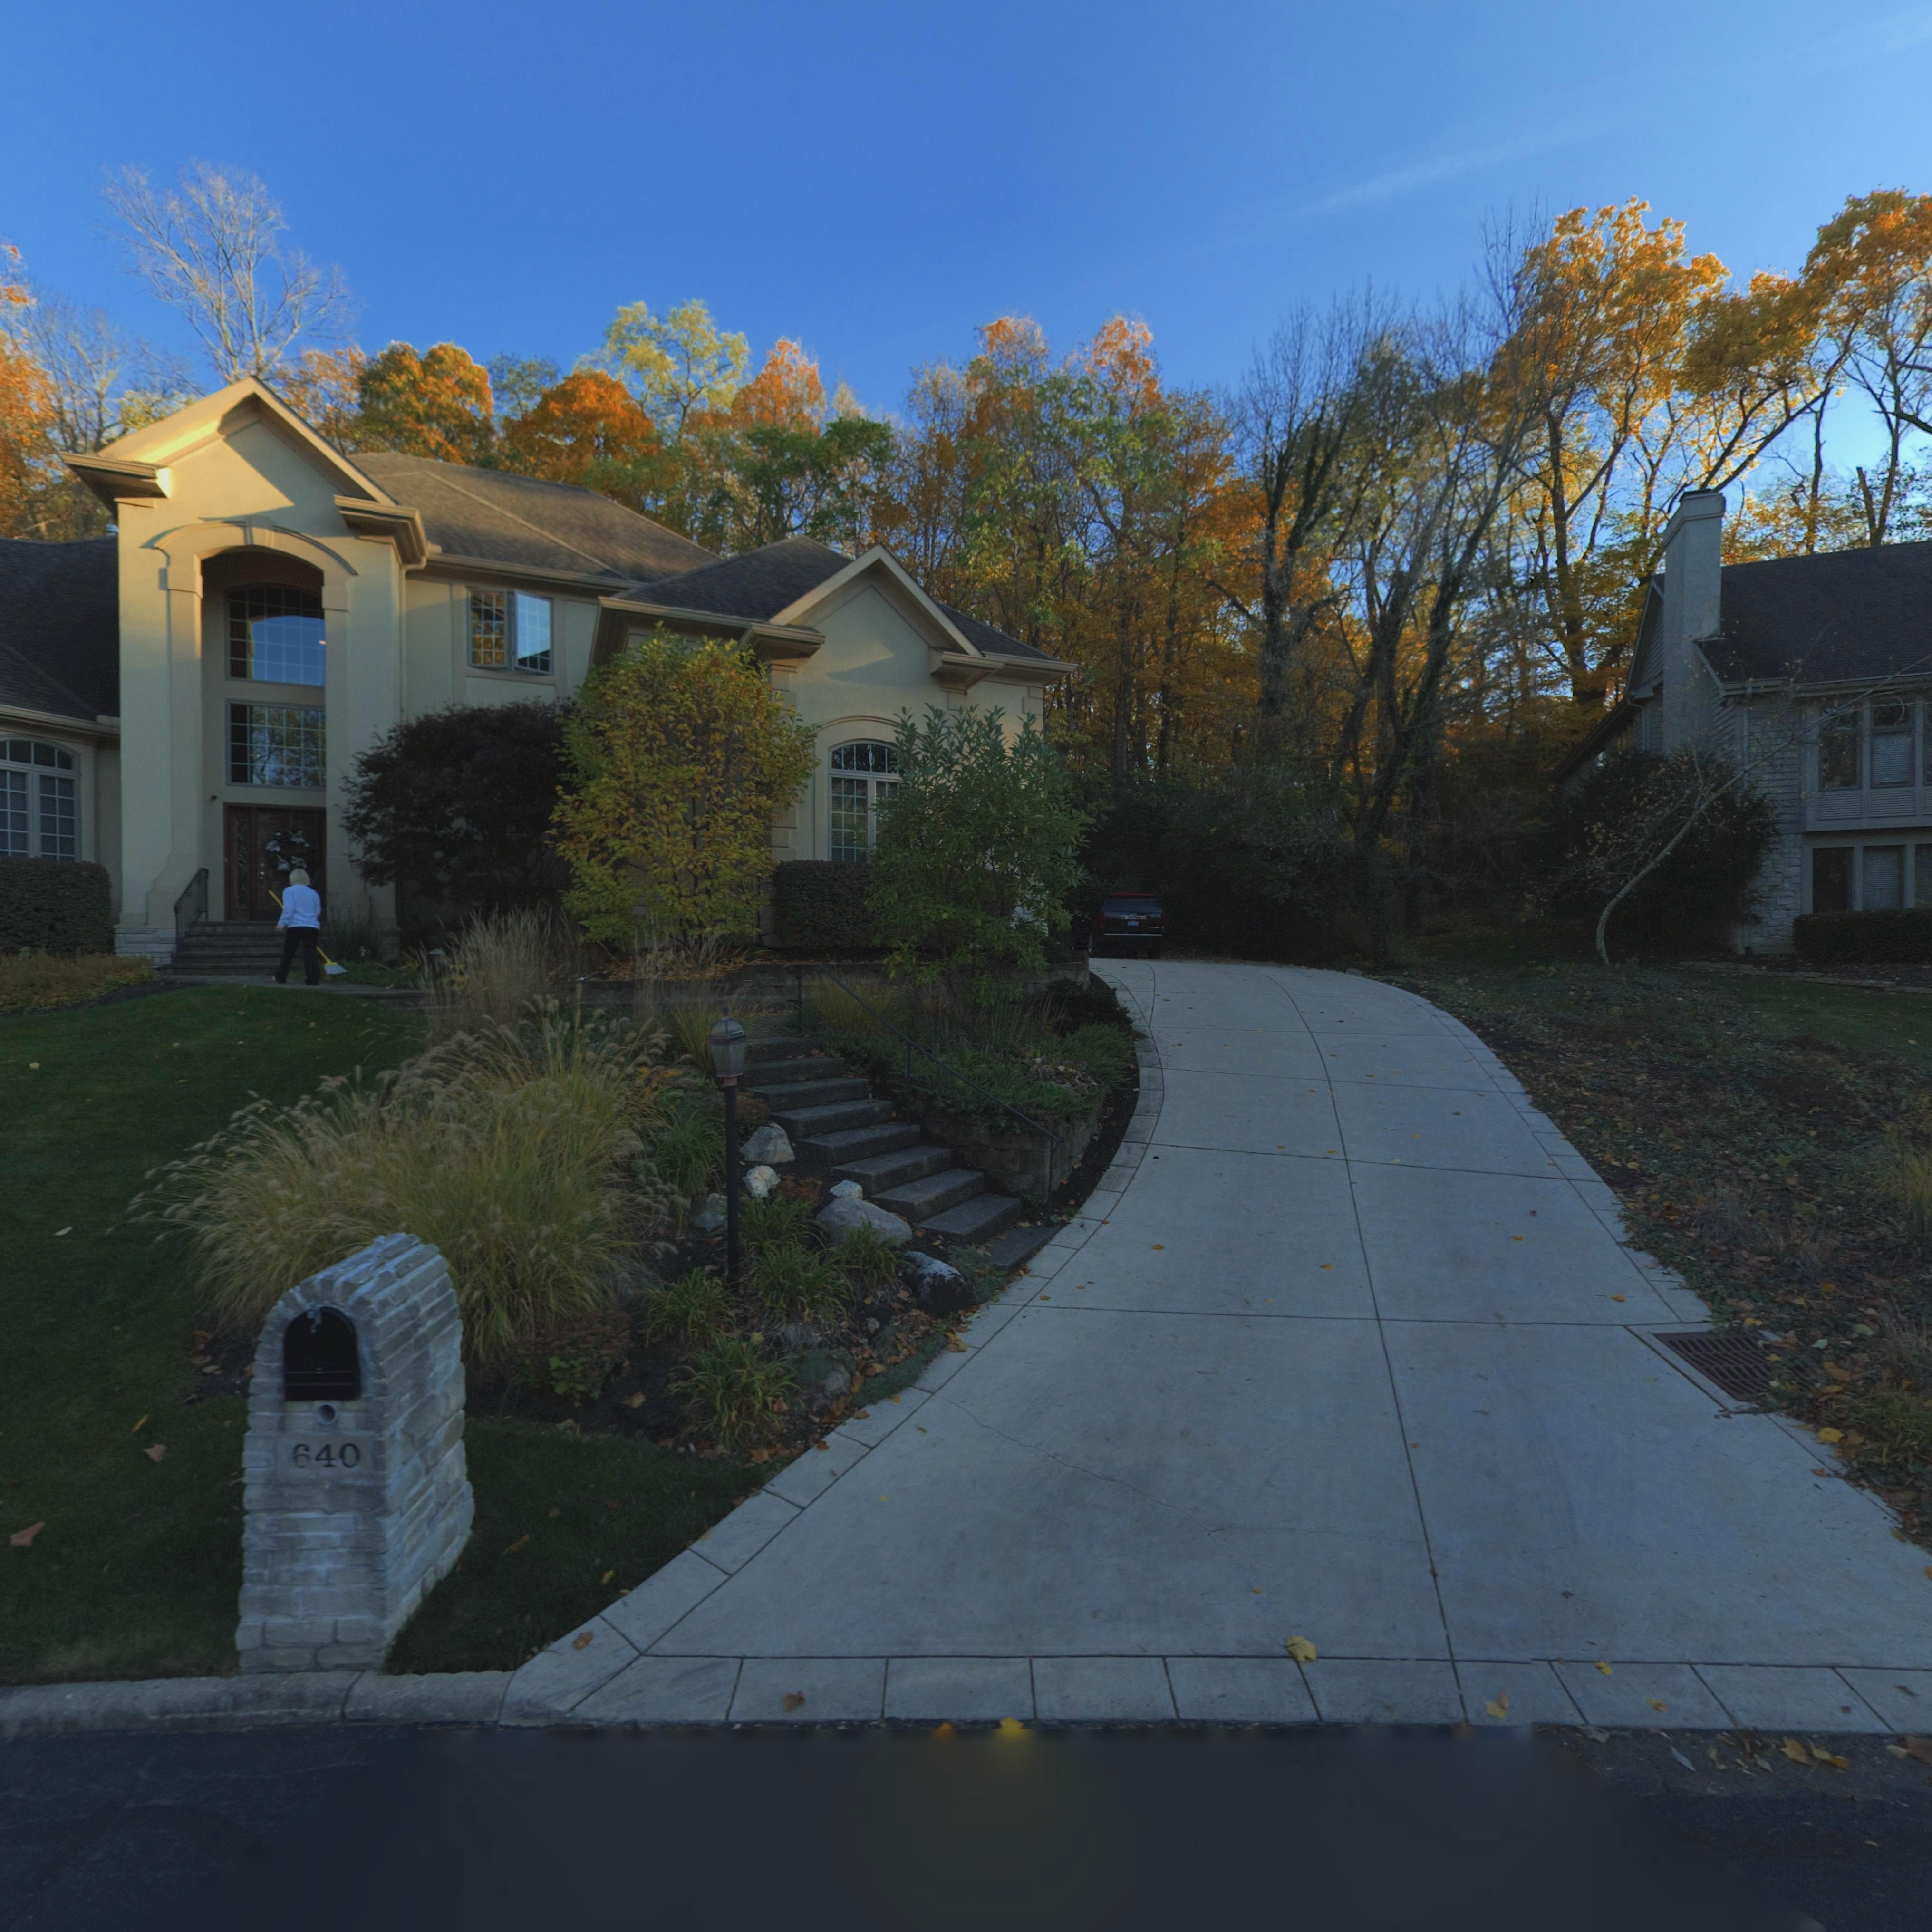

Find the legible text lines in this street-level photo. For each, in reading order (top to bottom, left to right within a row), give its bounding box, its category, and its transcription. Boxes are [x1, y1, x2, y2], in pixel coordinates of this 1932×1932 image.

[290, 1441, 361, 1469] StreetNumber: 640